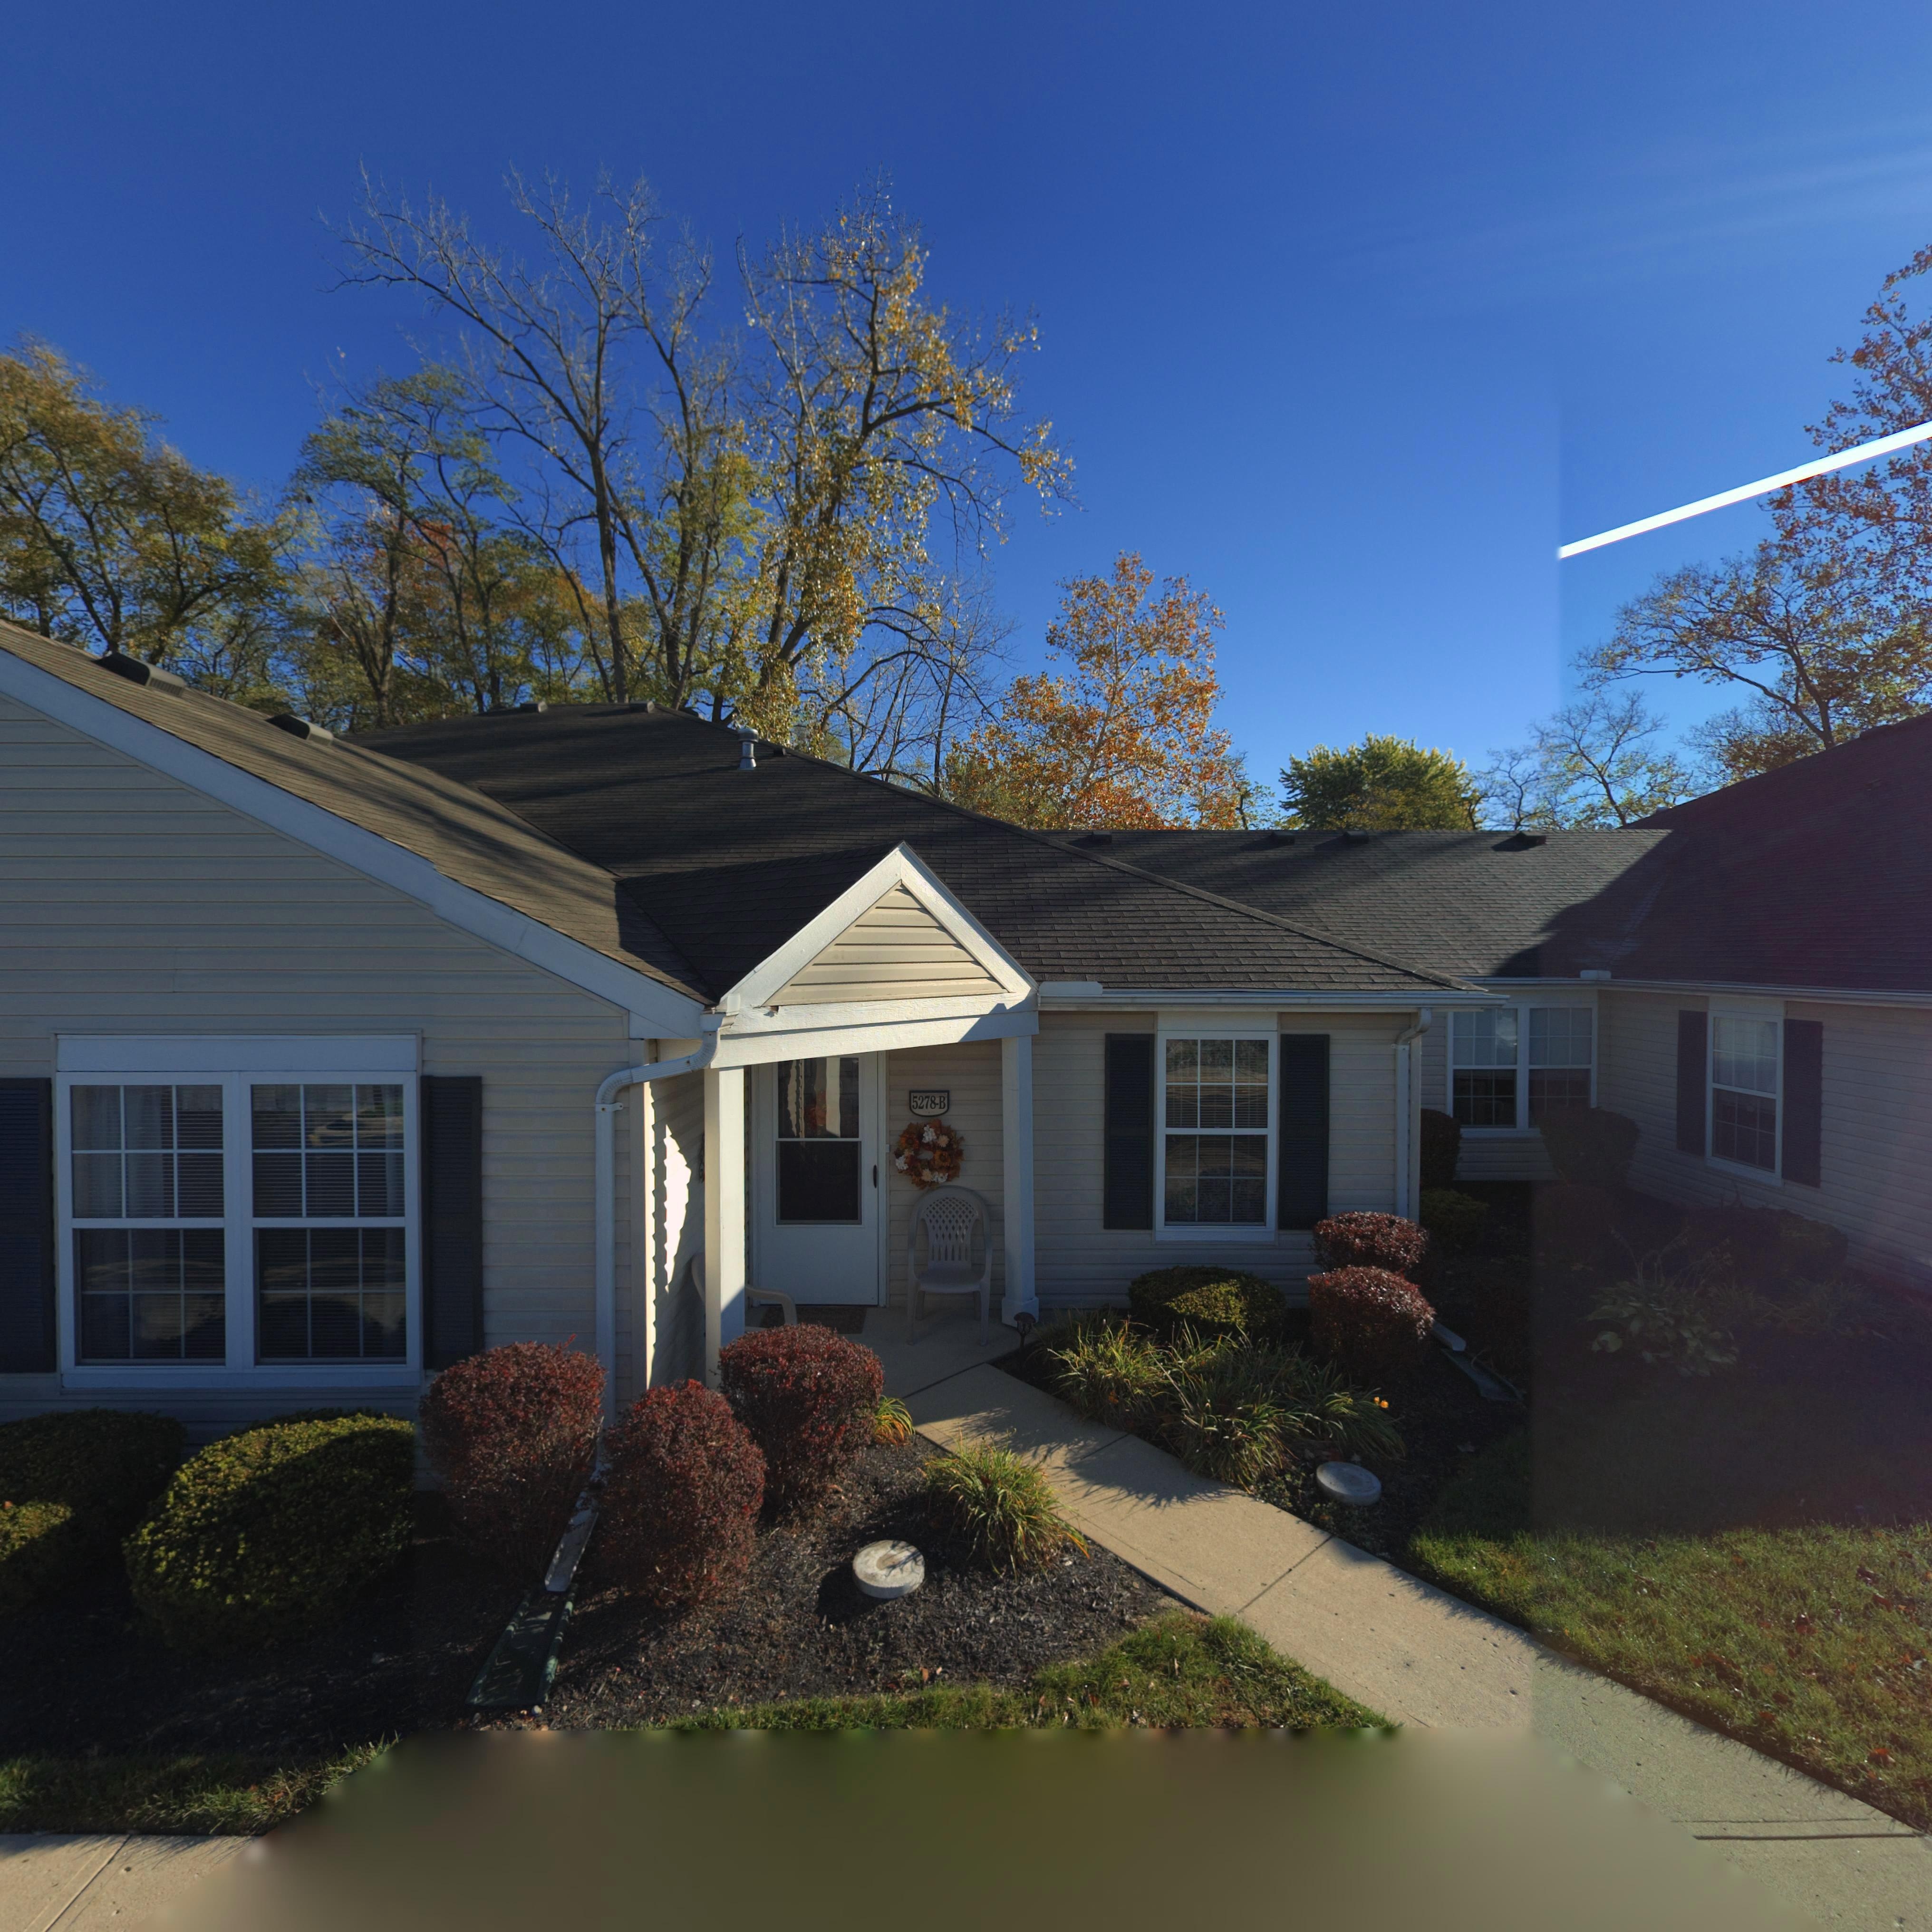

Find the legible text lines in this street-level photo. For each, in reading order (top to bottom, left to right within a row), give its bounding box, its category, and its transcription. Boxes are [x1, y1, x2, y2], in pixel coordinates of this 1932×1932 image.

[912, 1095, 946, 1110] StreetNumber: 5278-B